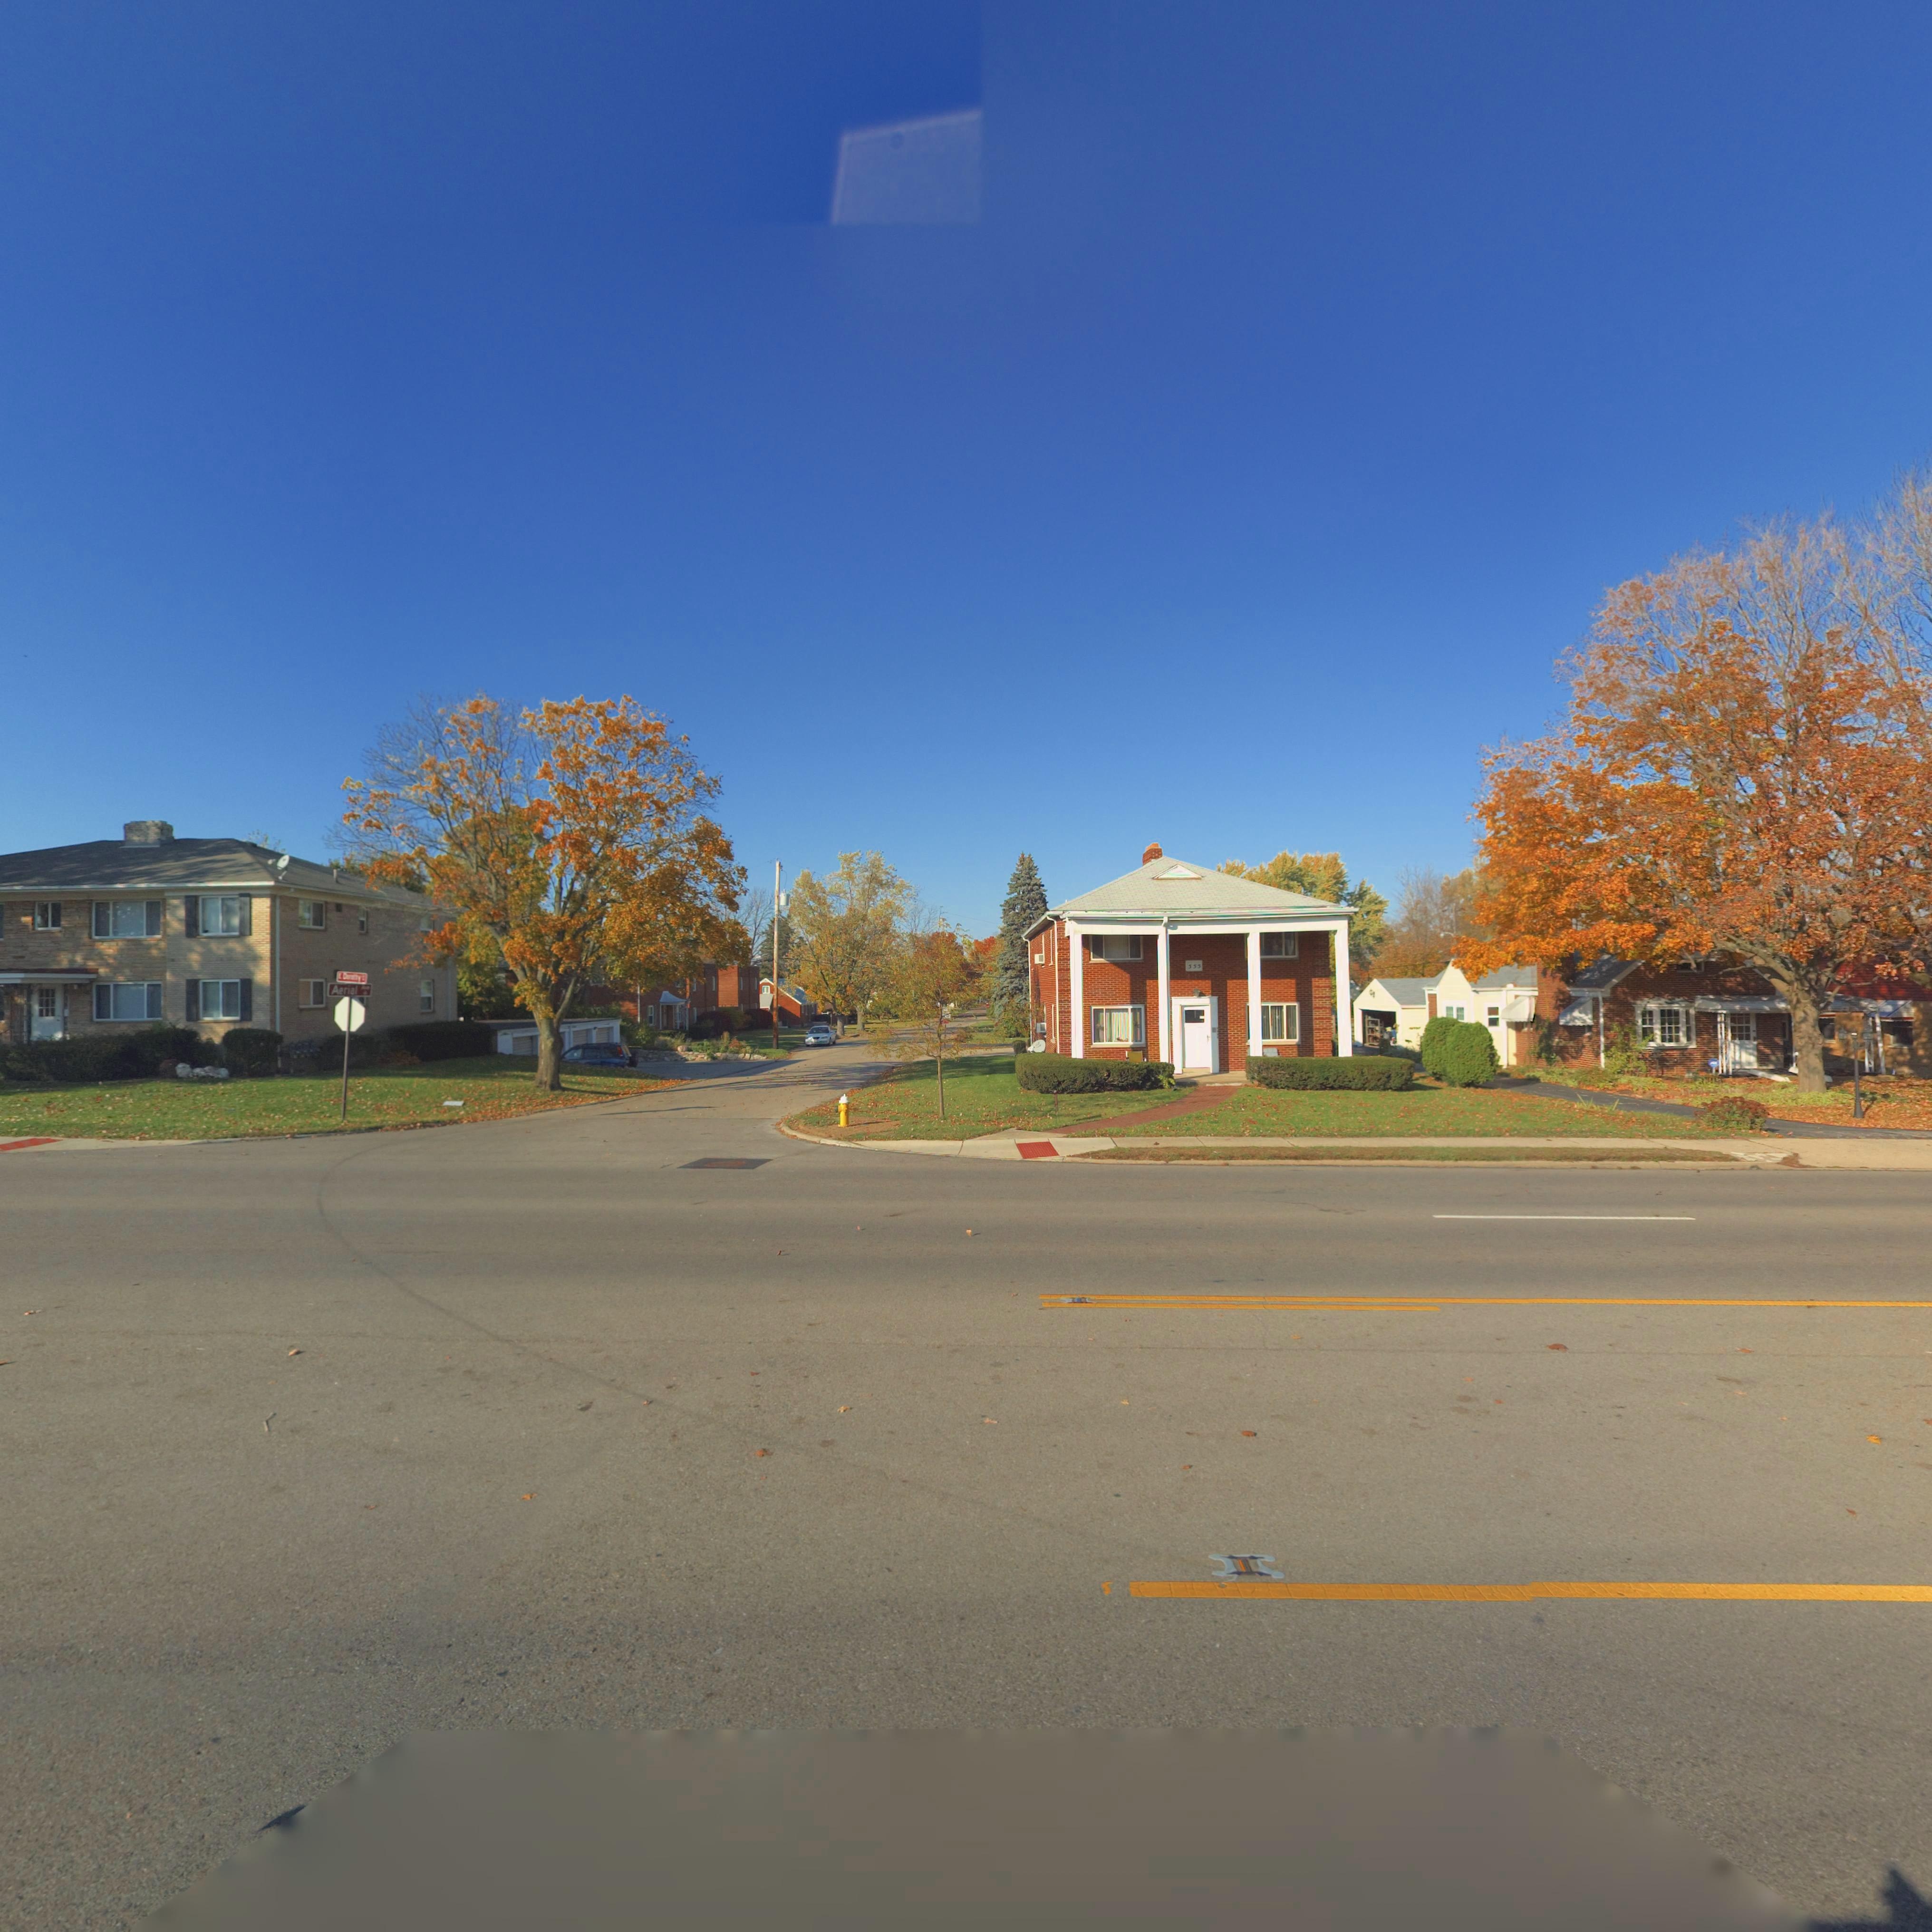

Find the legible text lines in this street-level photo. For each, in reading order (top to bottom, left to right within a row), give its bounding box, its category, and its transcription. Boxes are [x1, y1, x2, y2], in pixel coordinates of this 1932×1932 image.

[1188, 963, 1202, 970] StreetNumber: 555
[338, 972, 362, 983] StreetName: E Do****y
[329, 984, 359, 996] StreetName: Aerial